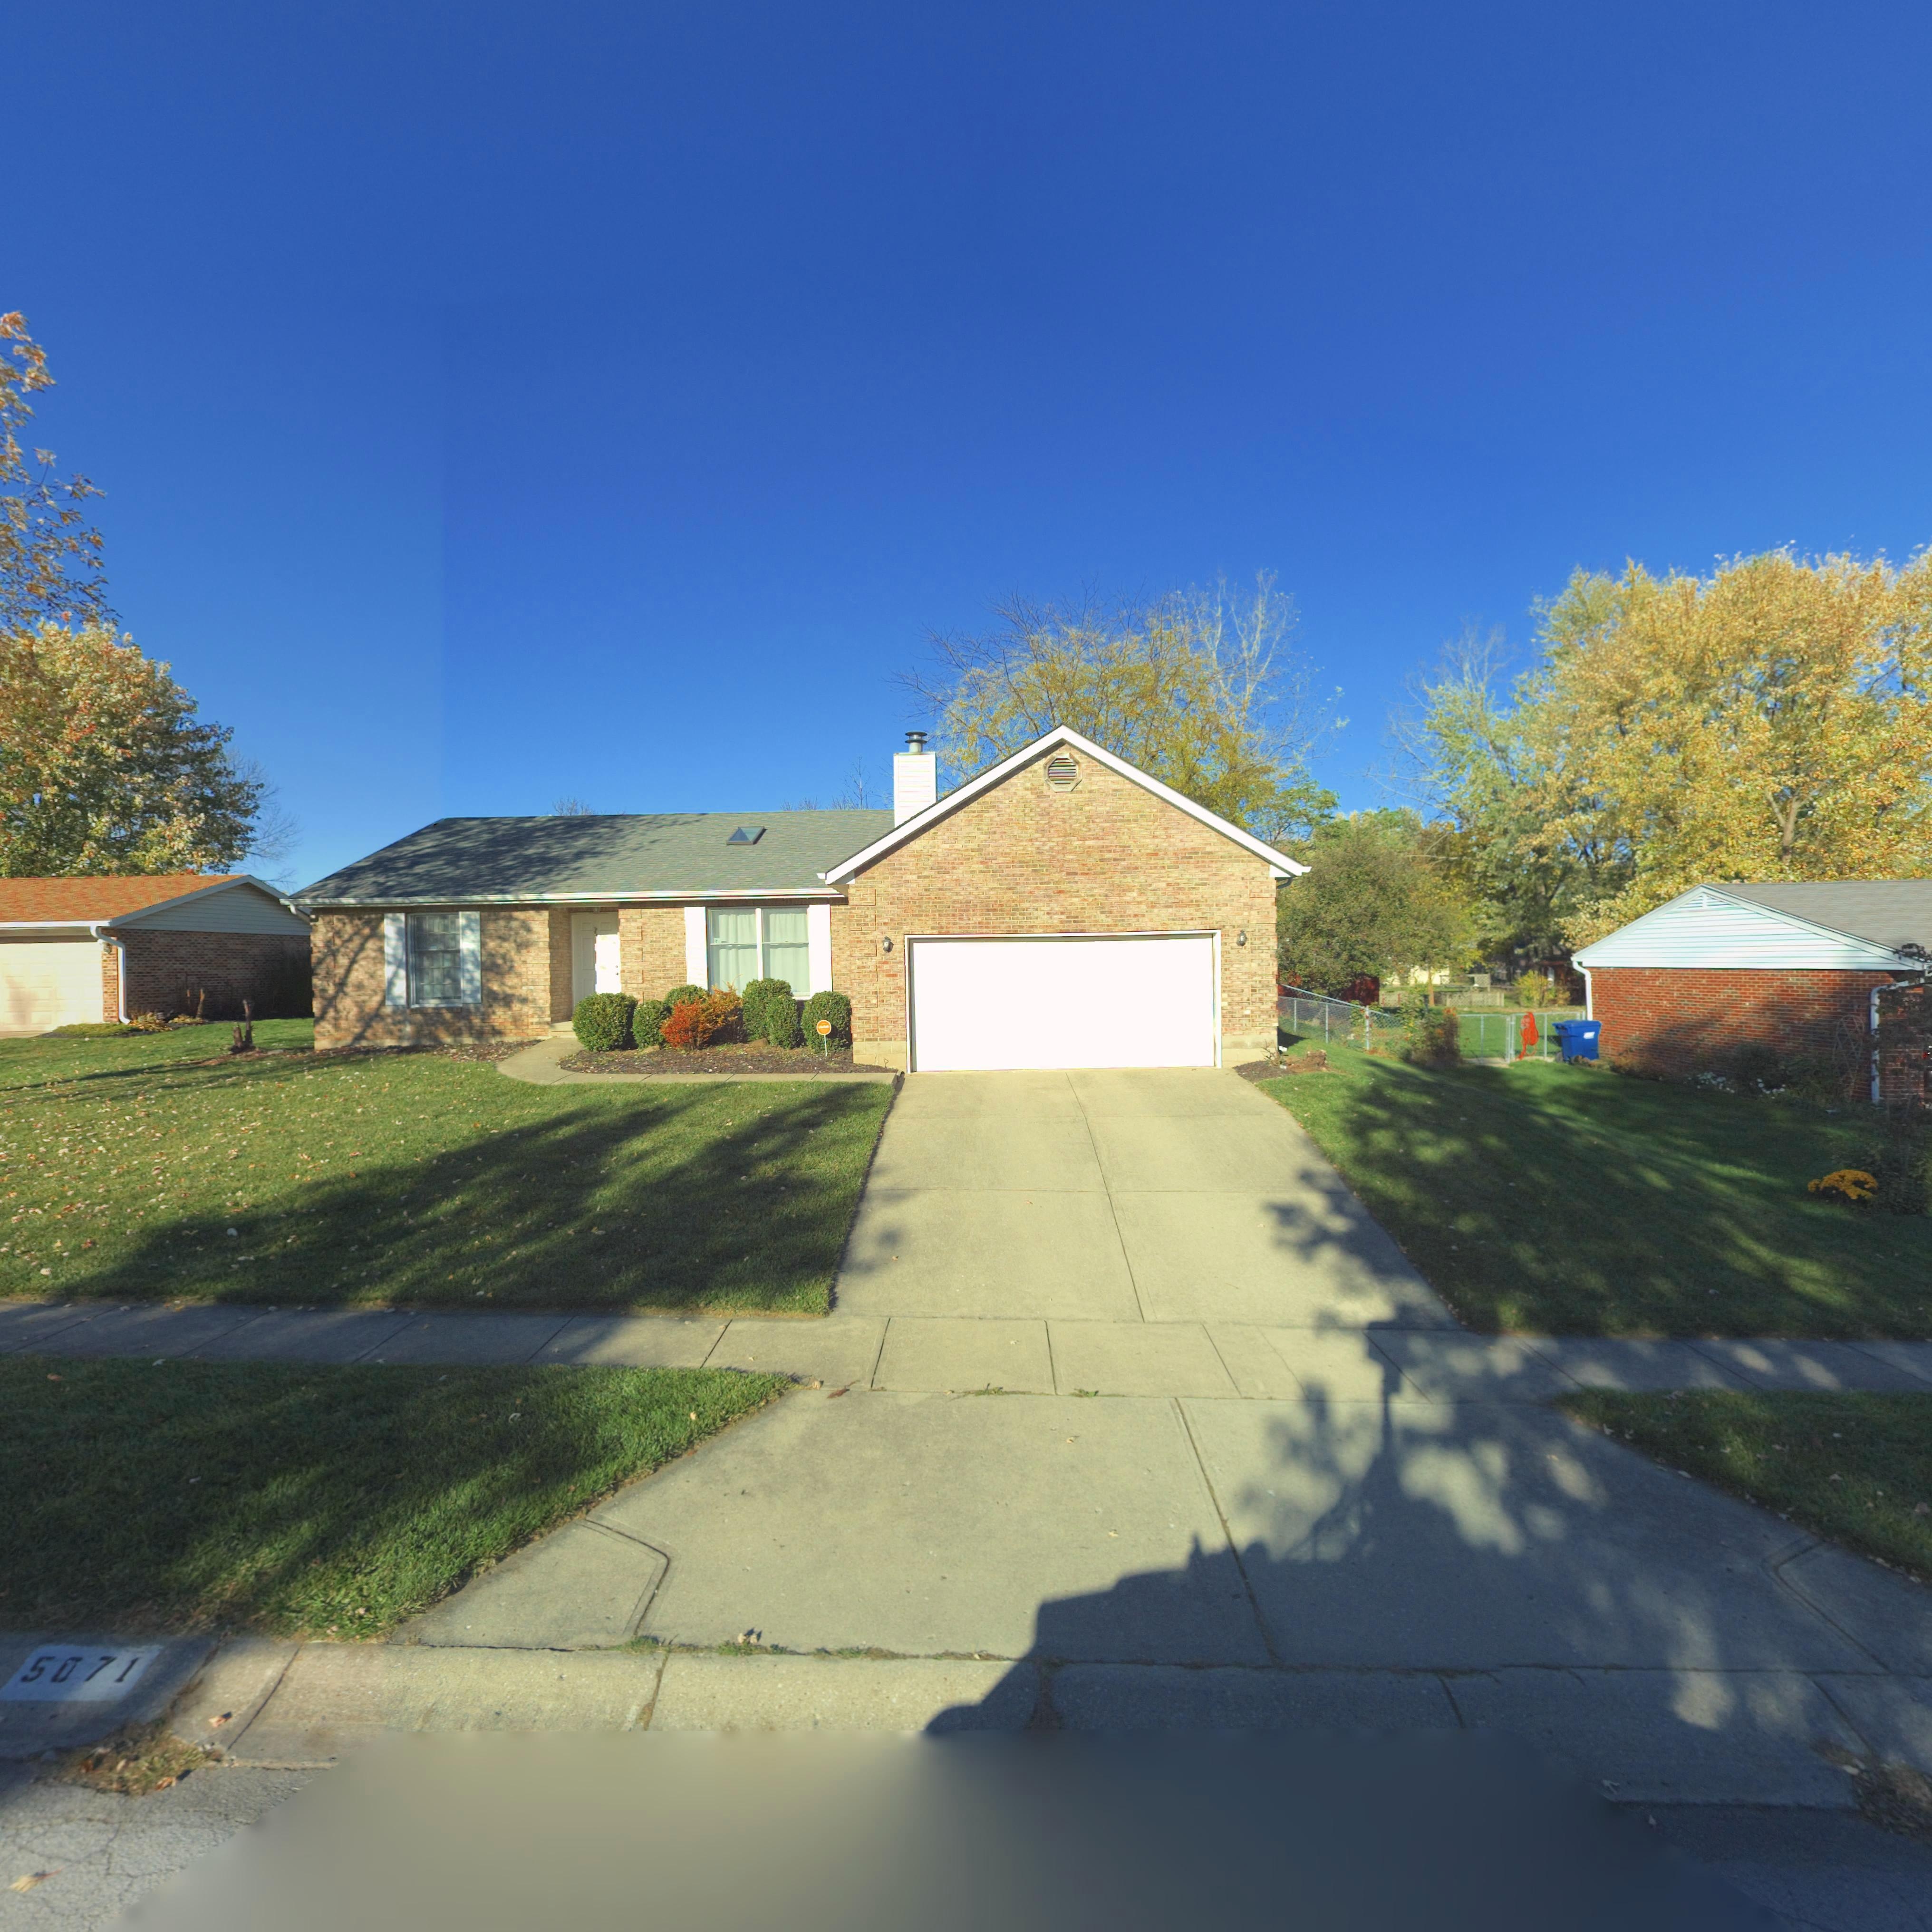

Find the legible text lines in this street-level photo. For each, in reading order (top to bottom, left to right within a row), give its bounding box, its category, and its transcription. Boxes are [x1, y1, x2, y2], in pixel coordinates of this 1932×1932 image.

[16, 1655, 143, 1685] StreetNumber: 5071